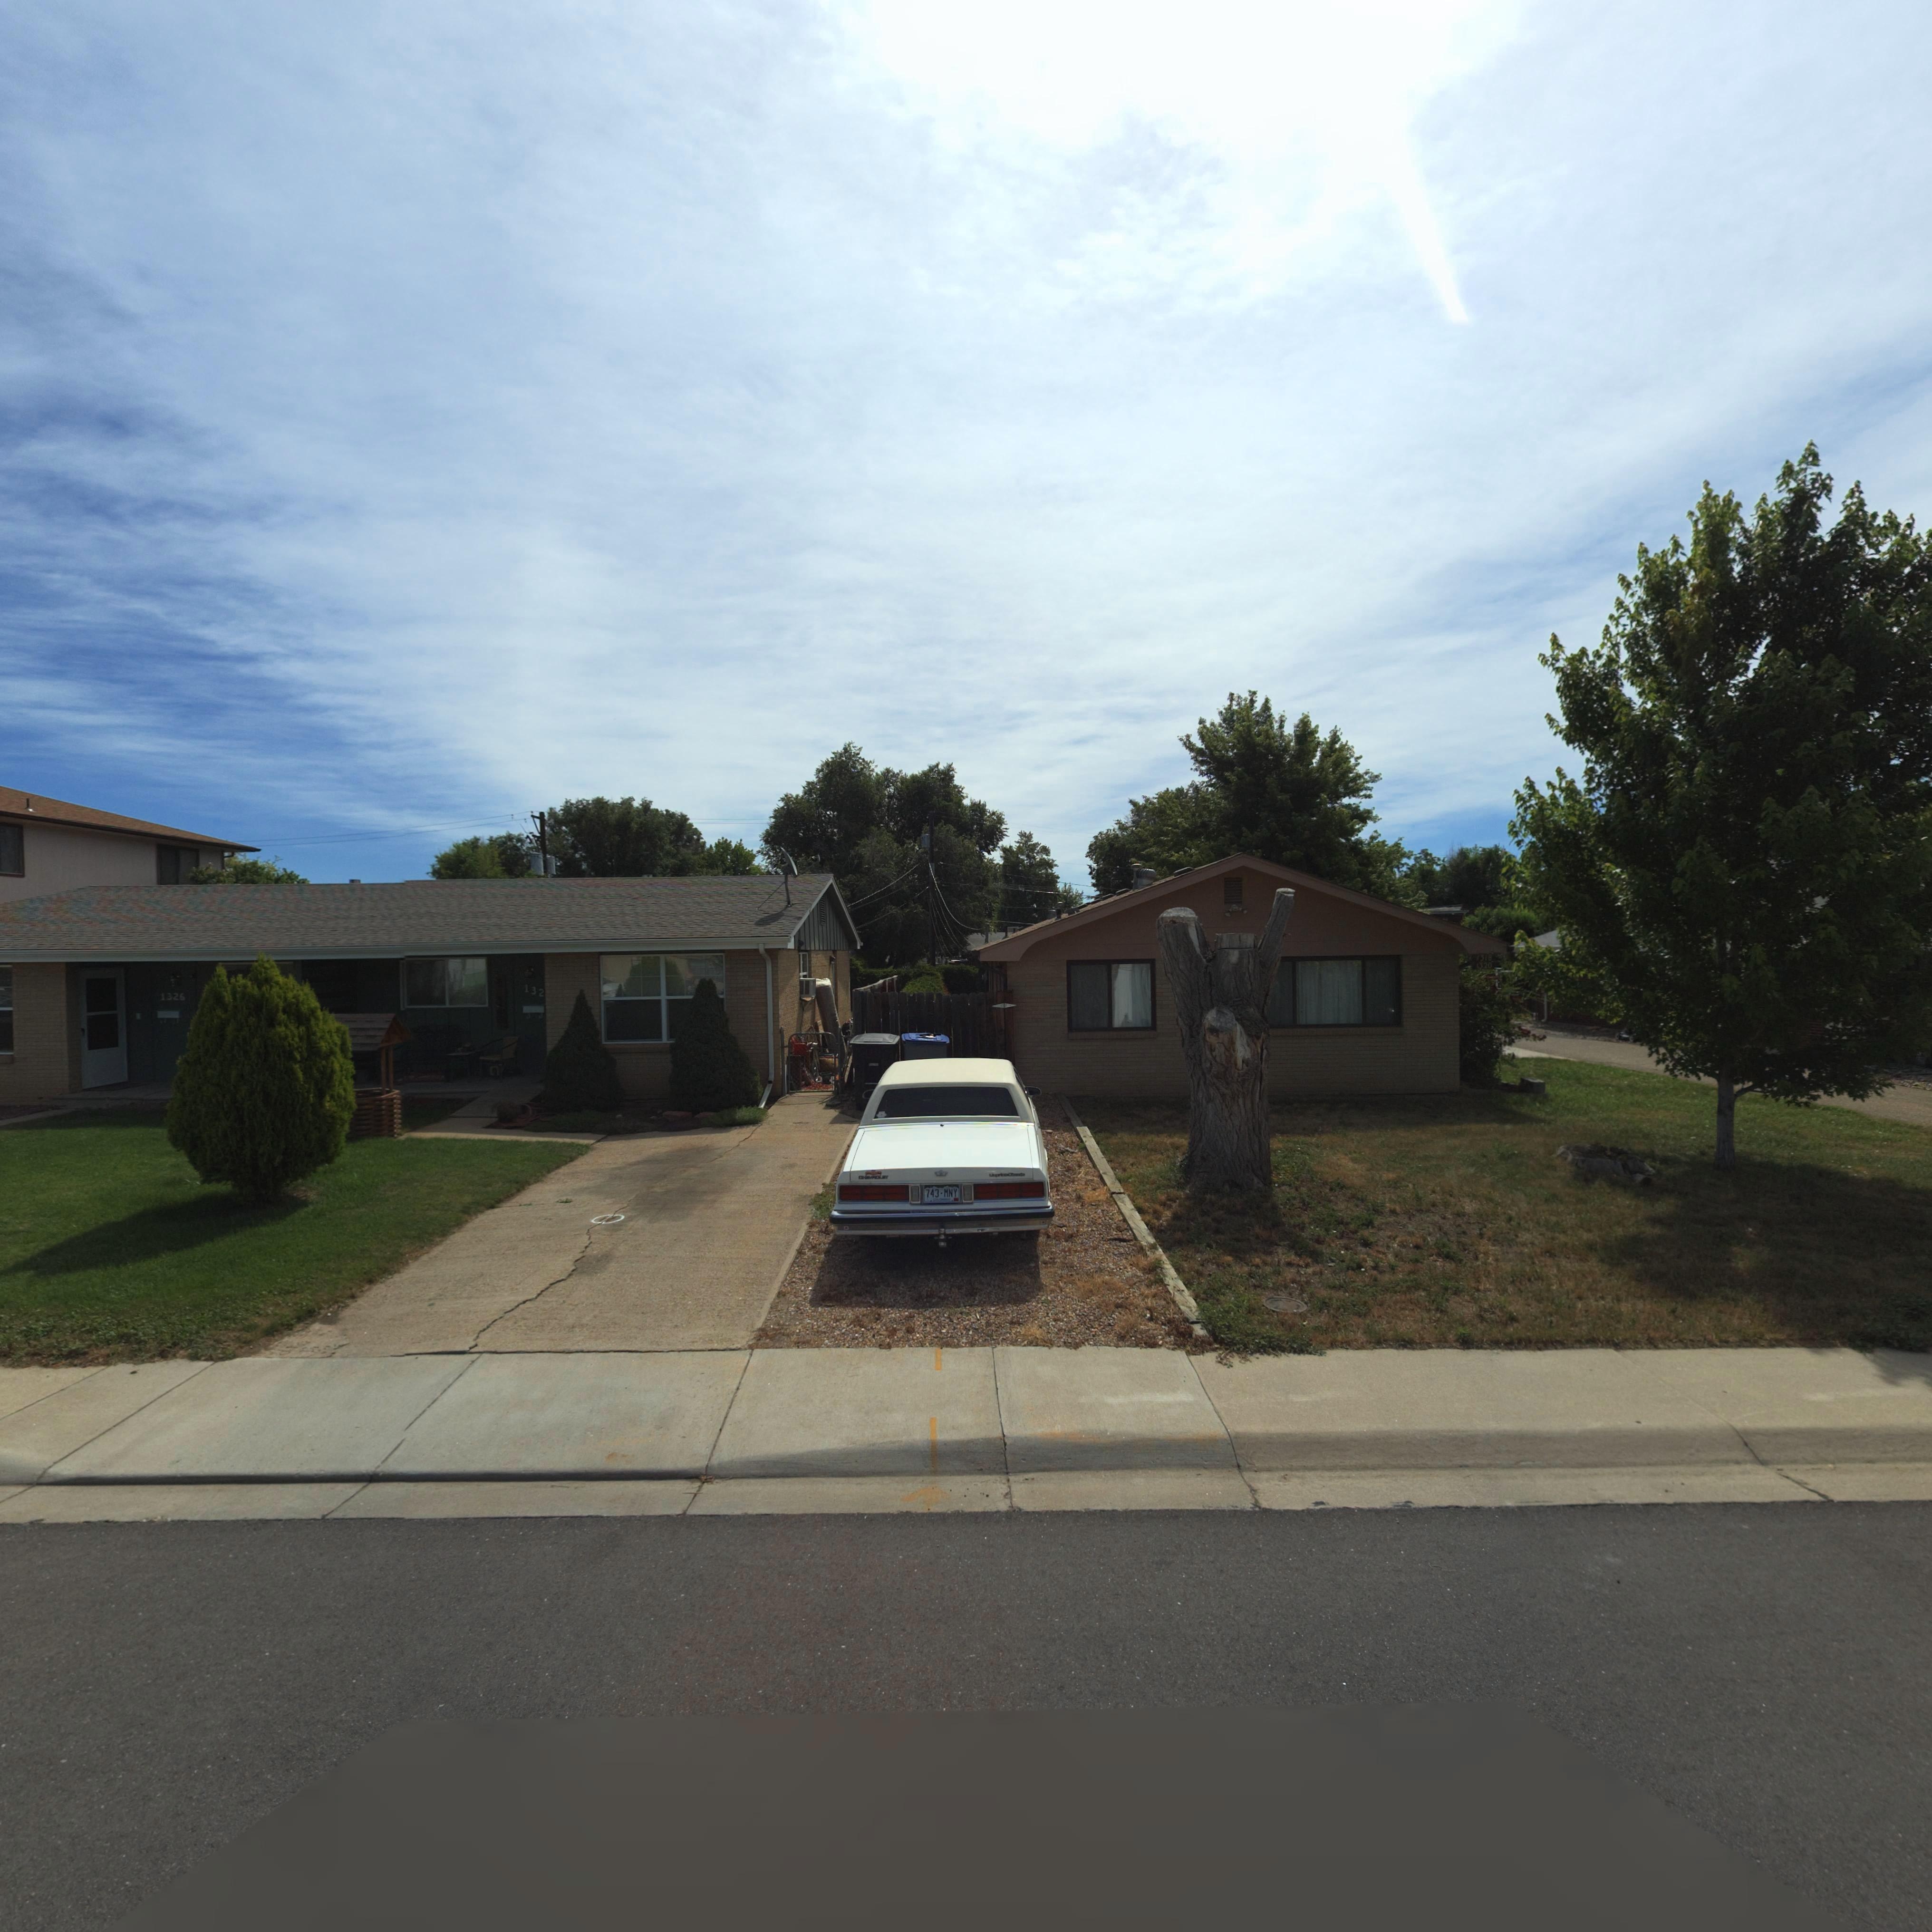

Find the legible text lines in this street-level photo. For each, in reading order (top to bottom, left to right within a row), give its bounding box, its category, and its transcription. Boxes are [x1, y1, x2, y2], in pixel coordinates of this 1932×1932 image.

[160, 992, 186, 1001] StreetNumber: 1326
[523, 984, 544, 997] StreetNumber: 132